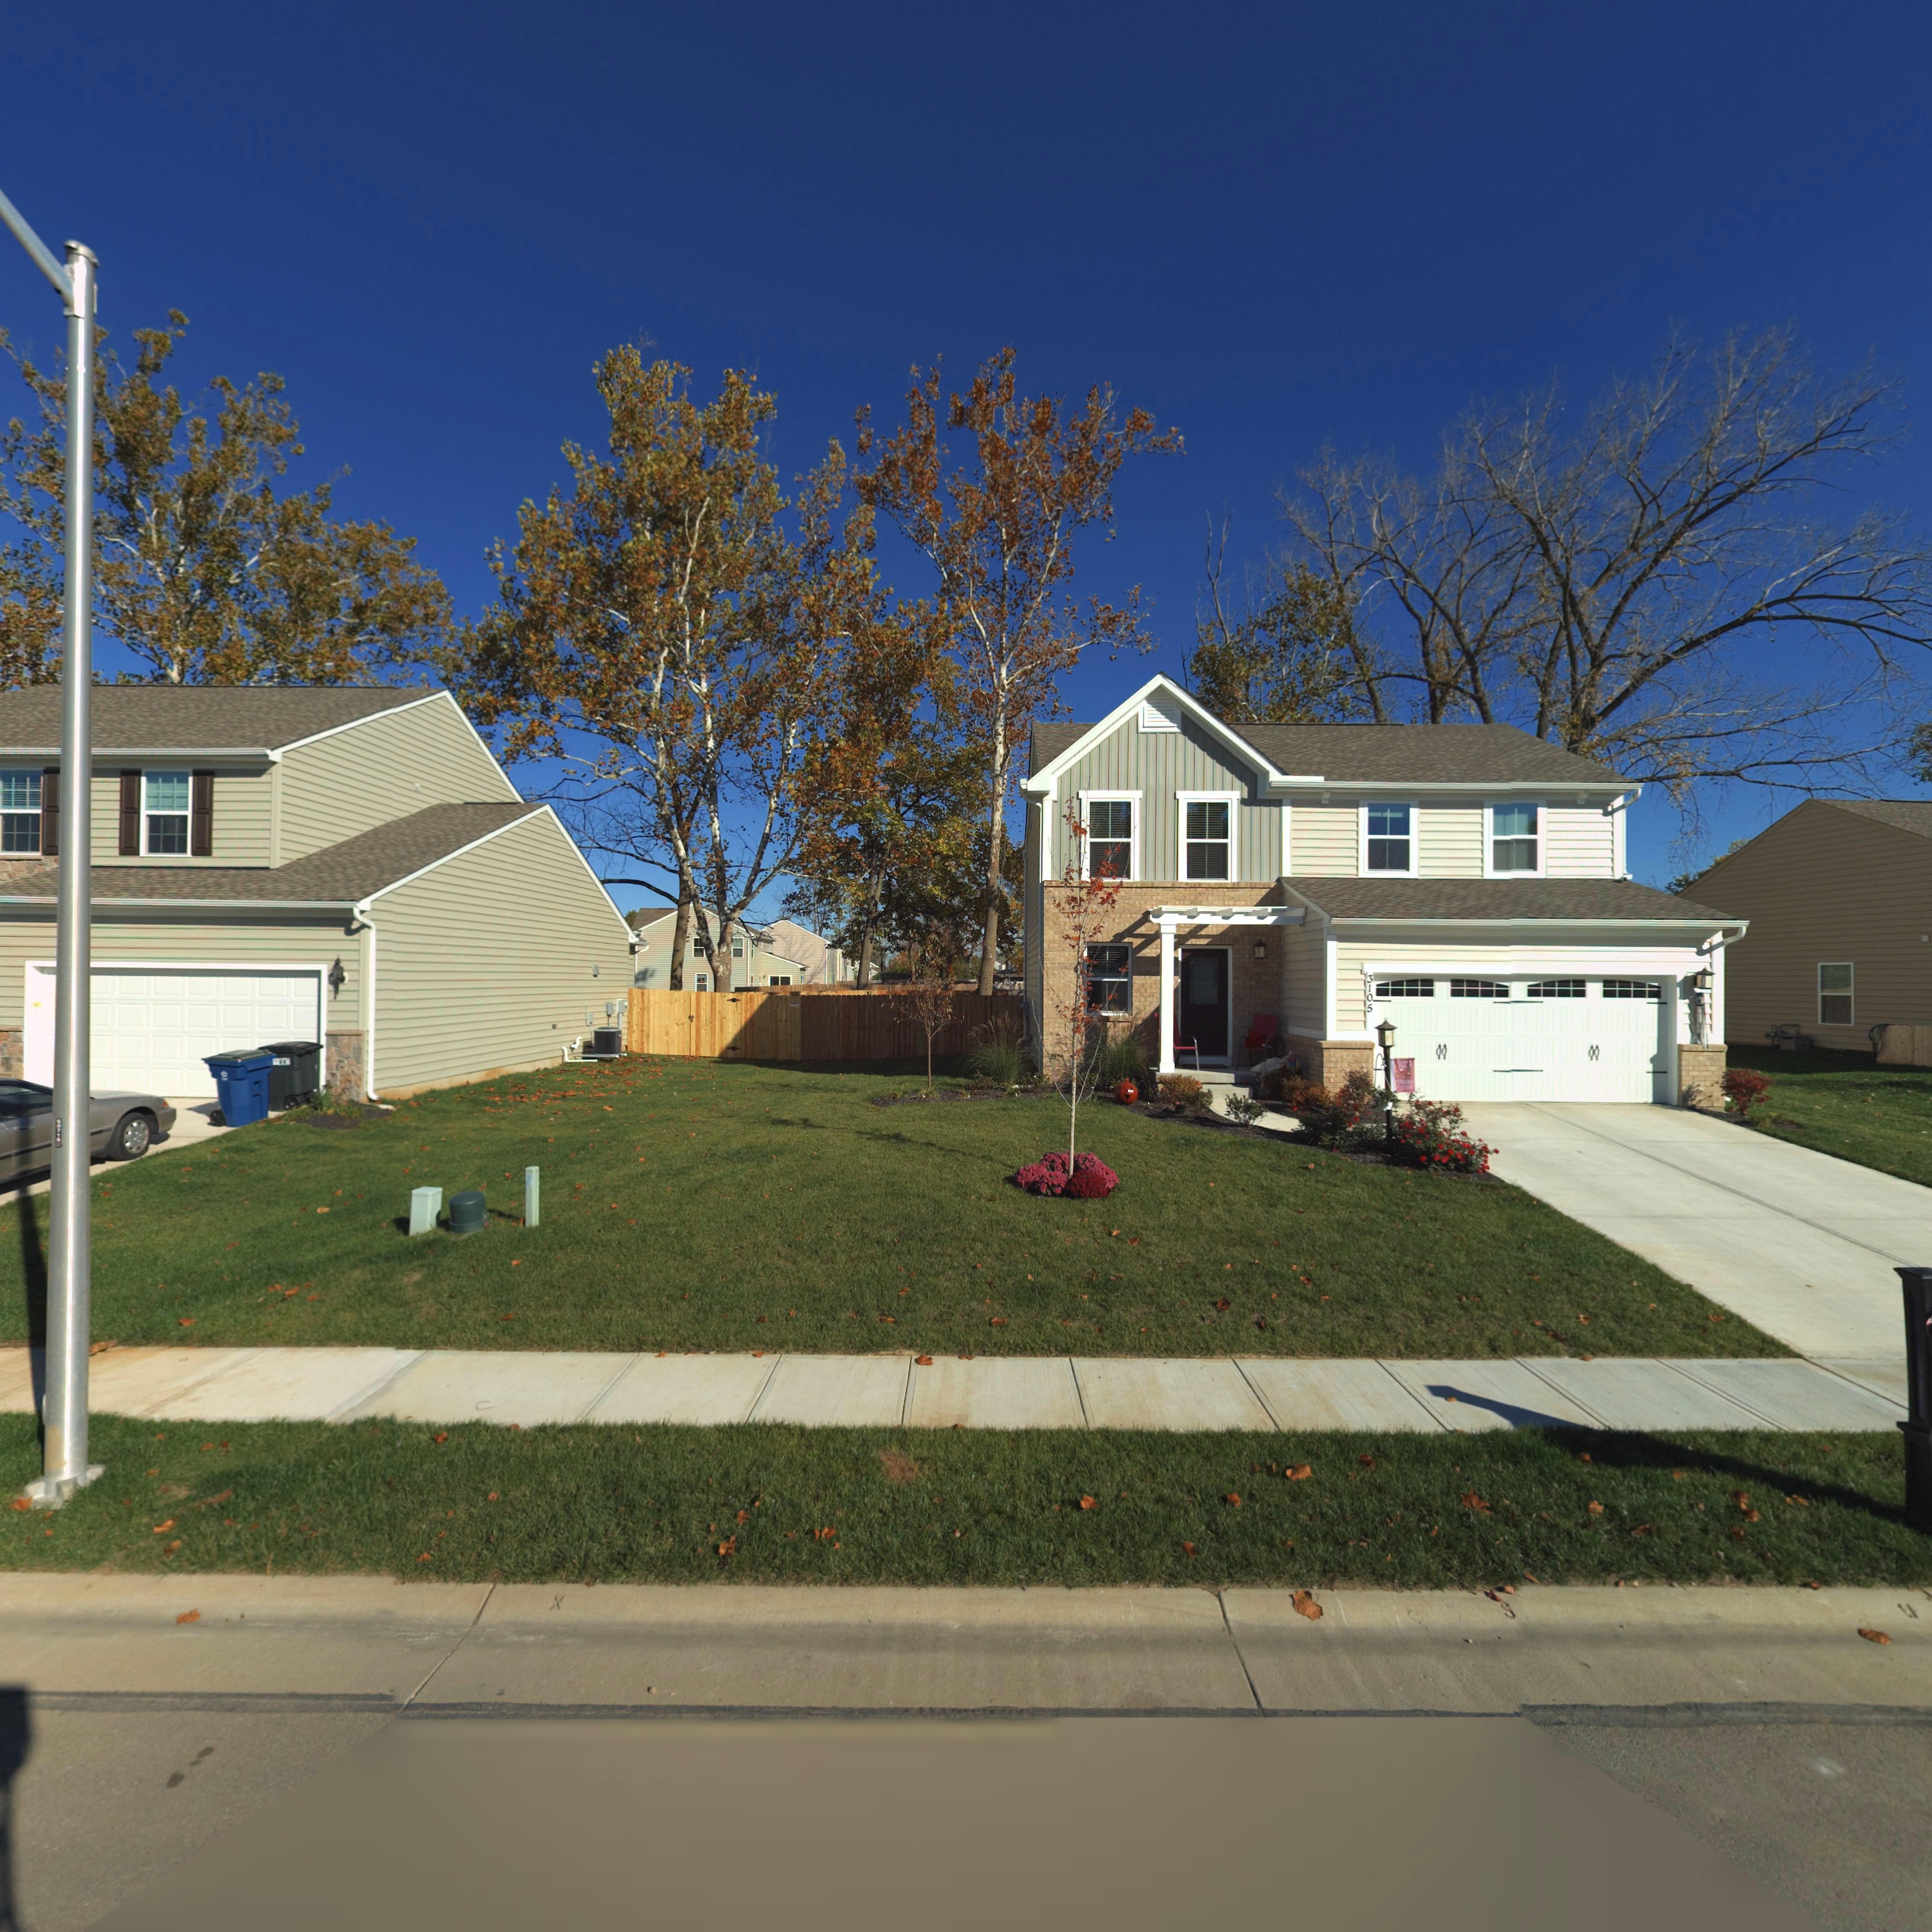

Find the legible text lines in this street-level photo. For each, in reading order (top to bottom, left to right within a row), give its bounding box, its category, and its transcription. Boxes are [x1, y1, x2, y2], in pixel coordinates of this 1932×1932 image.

[1366, 974, 1372, 1013] StreetNumber: 3105